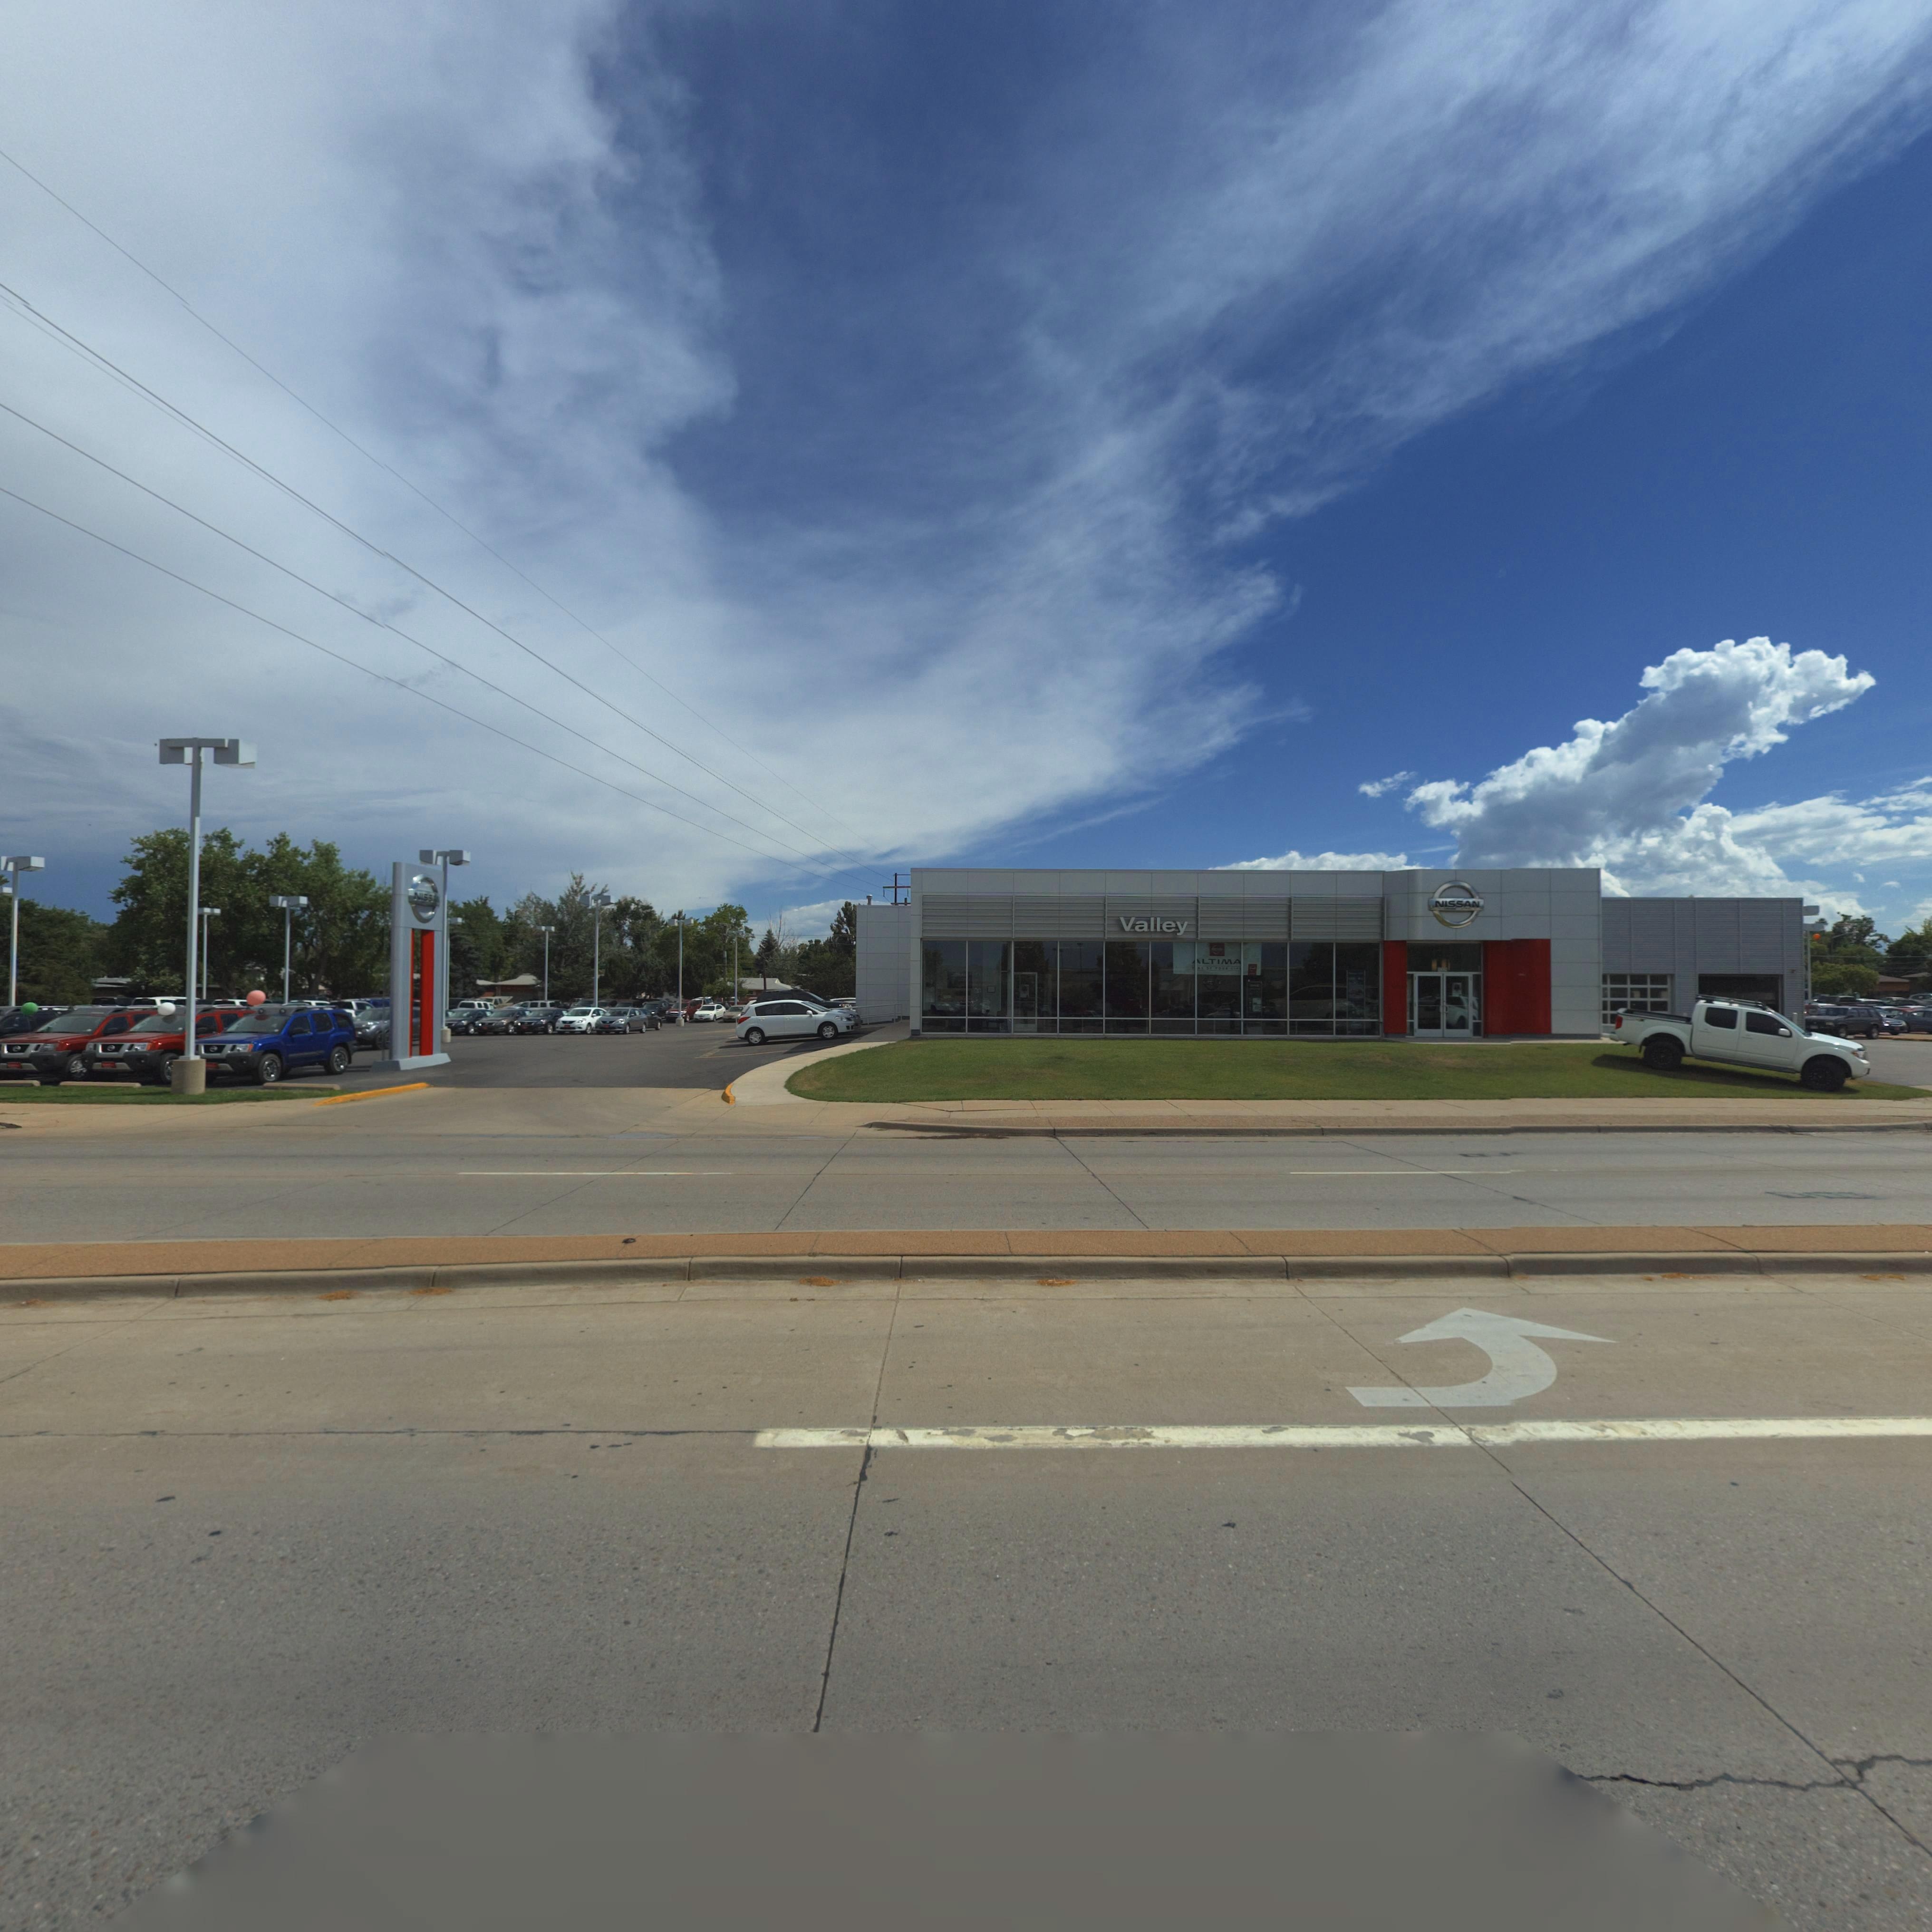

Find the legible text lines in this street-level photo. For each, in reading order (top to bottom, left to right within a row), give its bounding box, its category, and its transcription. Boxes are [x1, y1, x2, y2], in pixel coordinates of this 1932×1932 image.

[413, 891, 440, 903] BusinessName: NISSA*
[1435, 900, 1479, 908] BusinessName: NISSAN
[1118, 916, 1188, 936] BusinessName: Valley